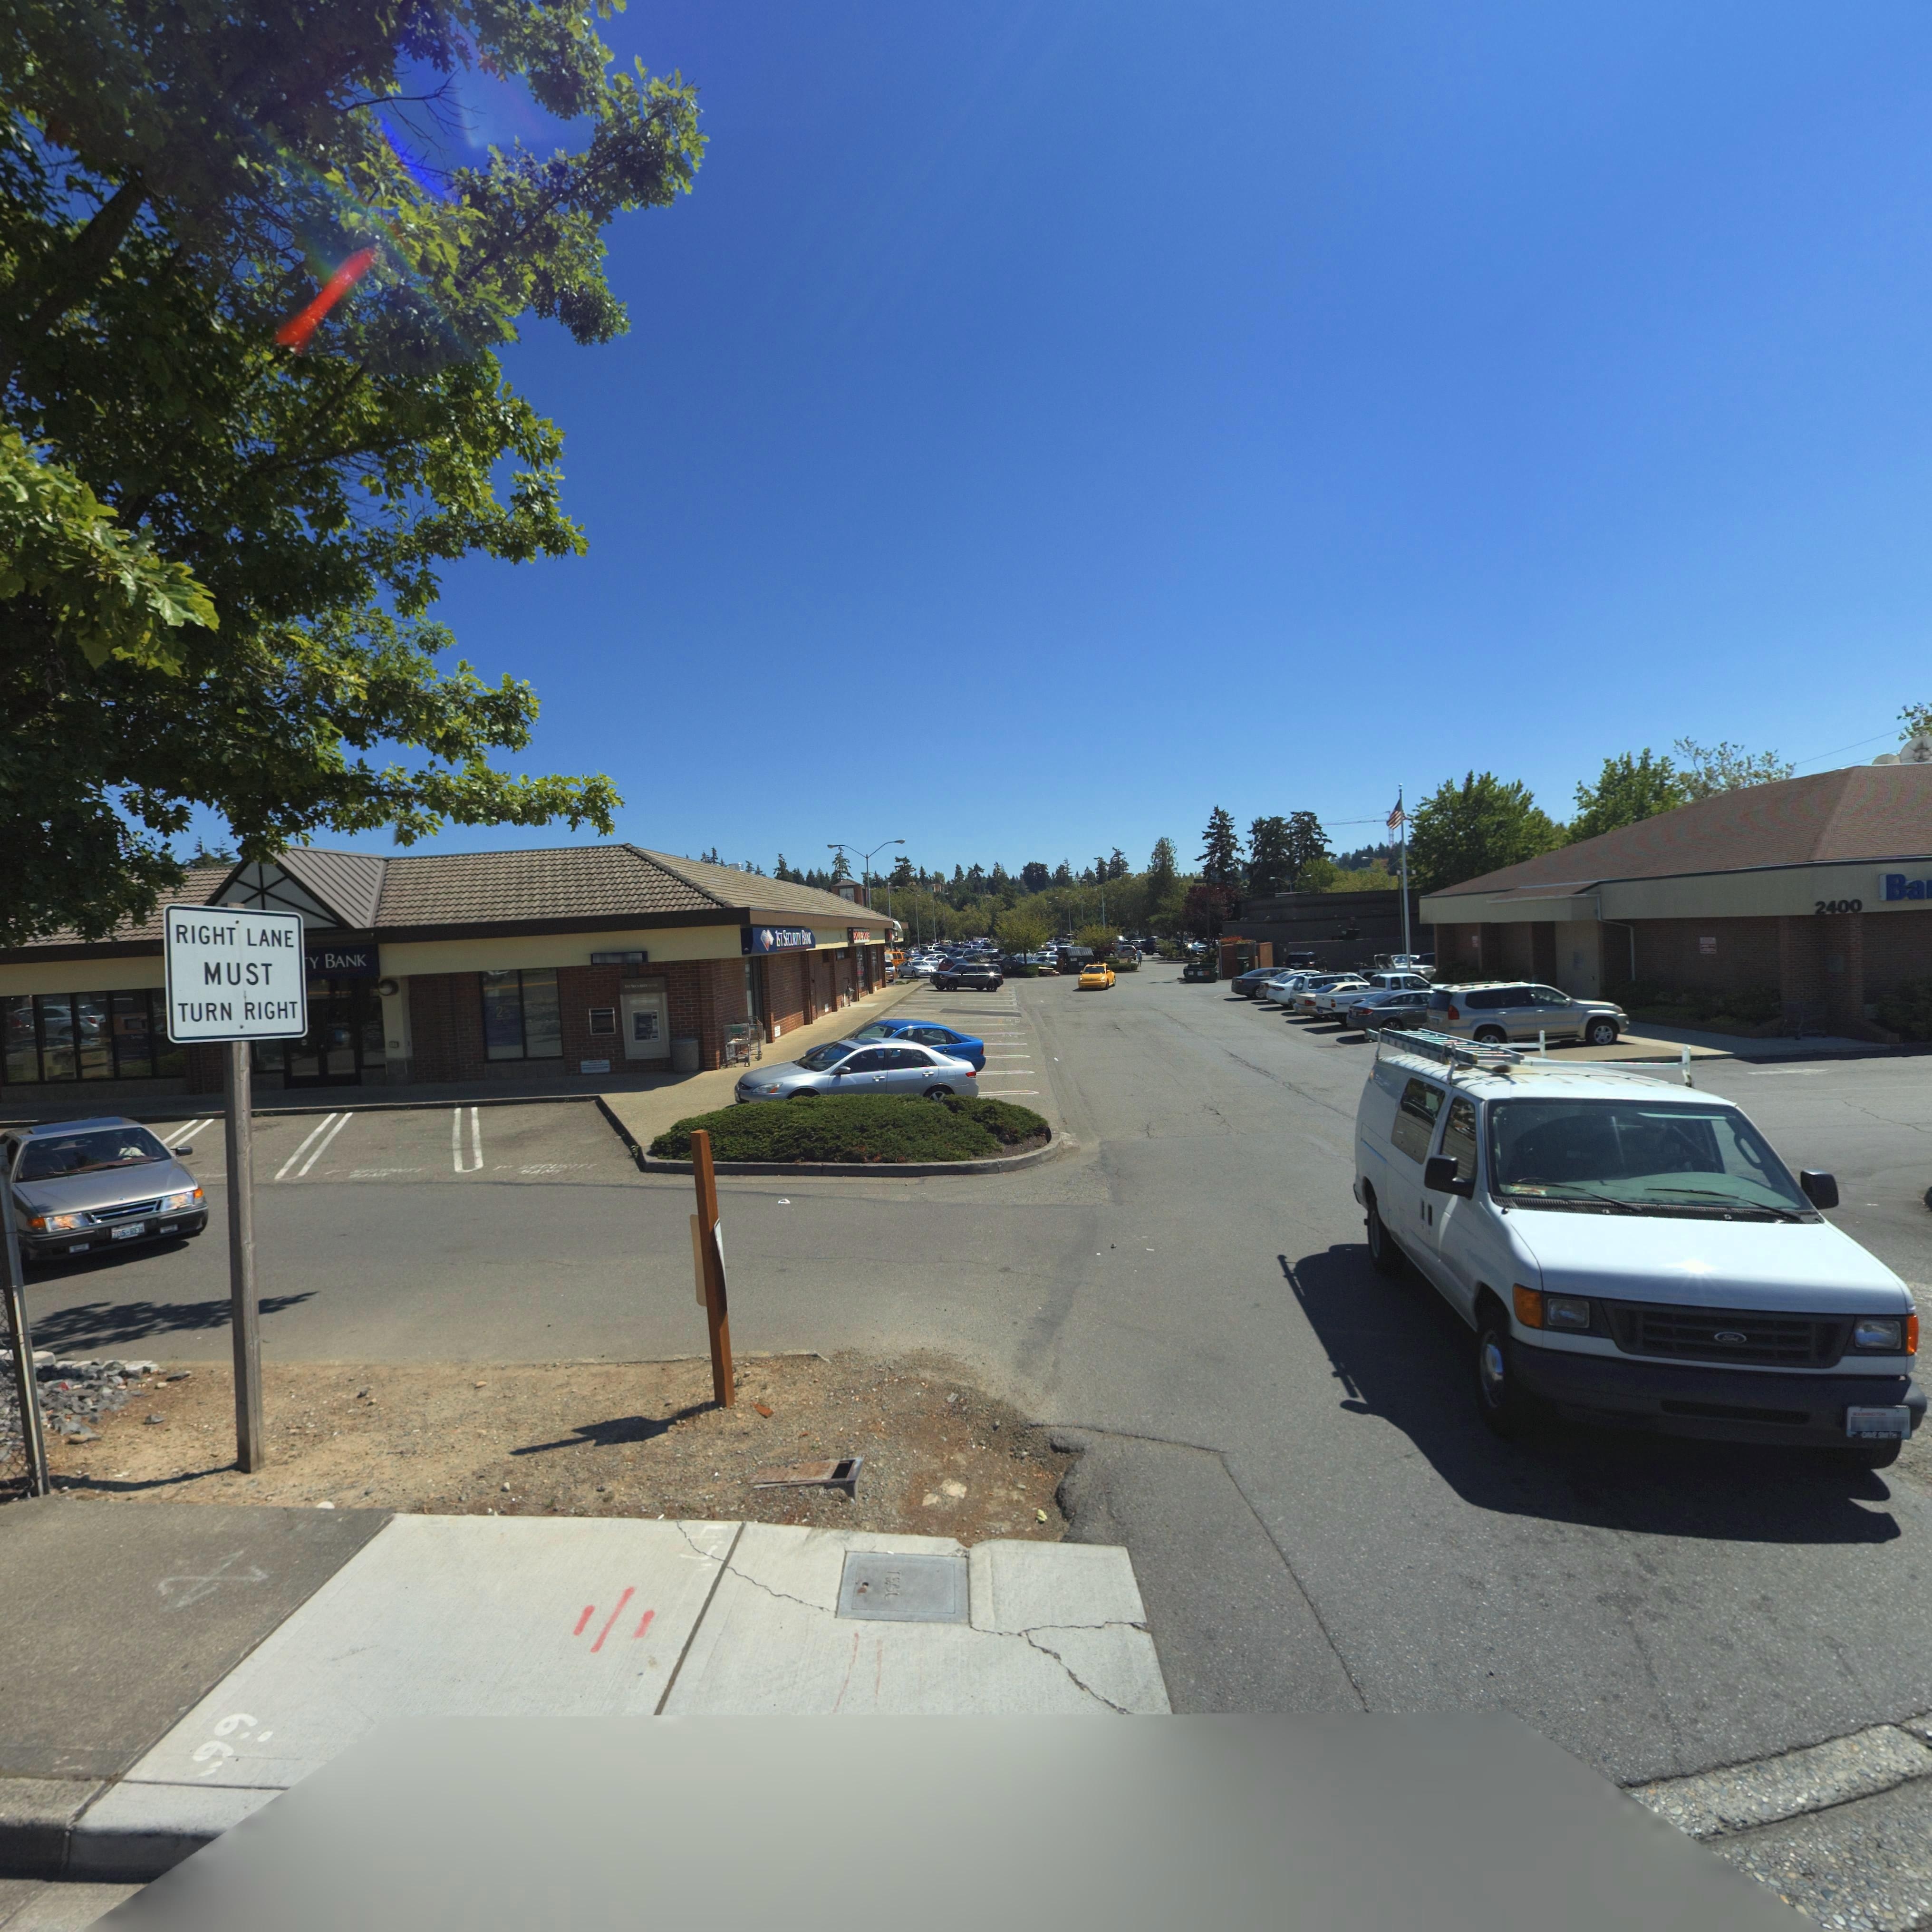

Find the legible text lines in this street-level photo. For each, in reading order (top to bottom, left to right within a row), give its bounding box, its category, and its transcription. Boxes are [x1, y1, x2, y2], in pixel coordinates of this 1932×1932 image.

[1883, 873, 1925, 900] BusinessName: Ba
[1815, 899, 1864, 914] StreetNumber: 2400
[309, 953, 366, 968] BusinessName: y Bank